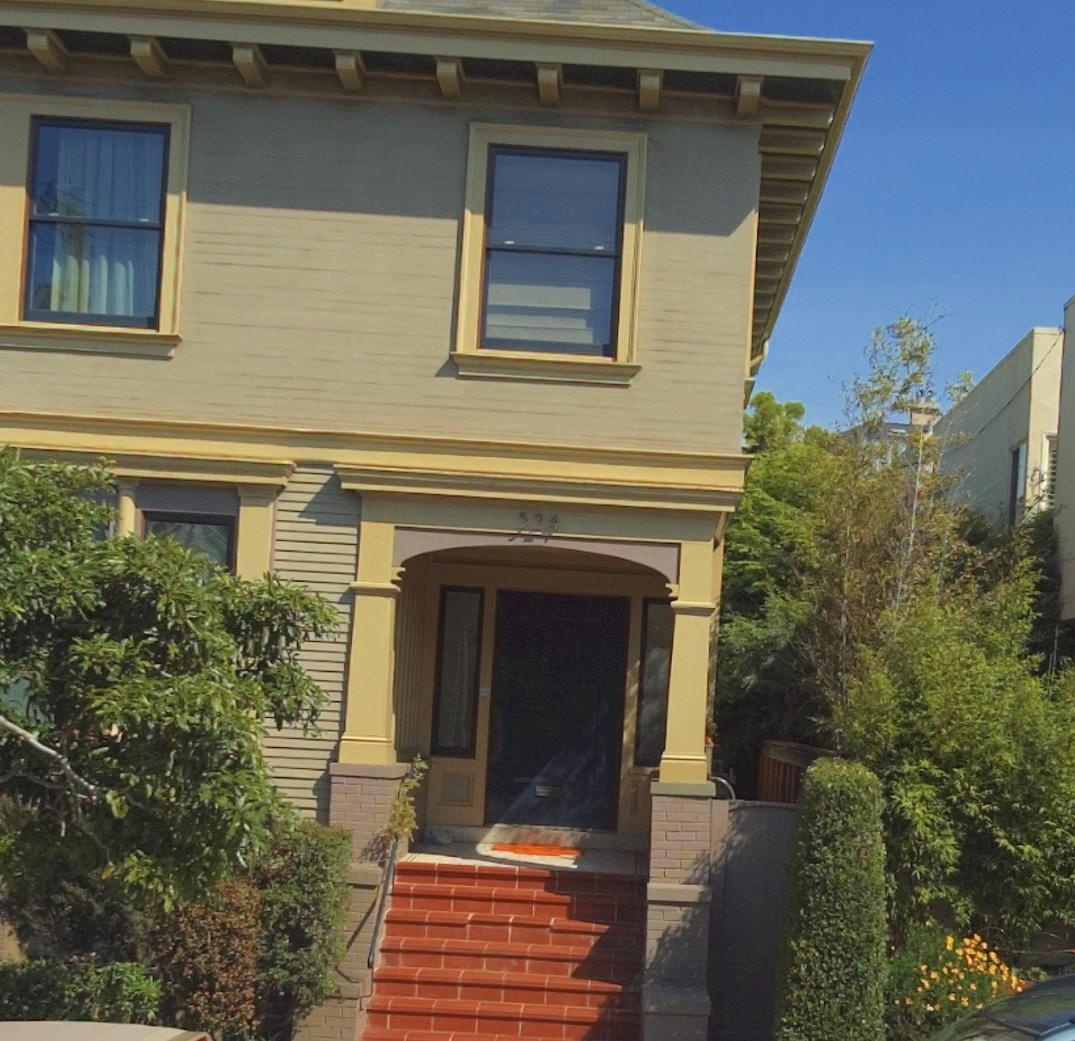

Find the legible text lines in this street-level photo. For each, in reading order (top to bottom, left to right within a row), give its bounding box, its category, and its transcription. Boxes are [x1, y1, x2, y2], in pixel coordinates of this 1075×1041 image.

[515, 509, 560, 533] StreetNumber: 524